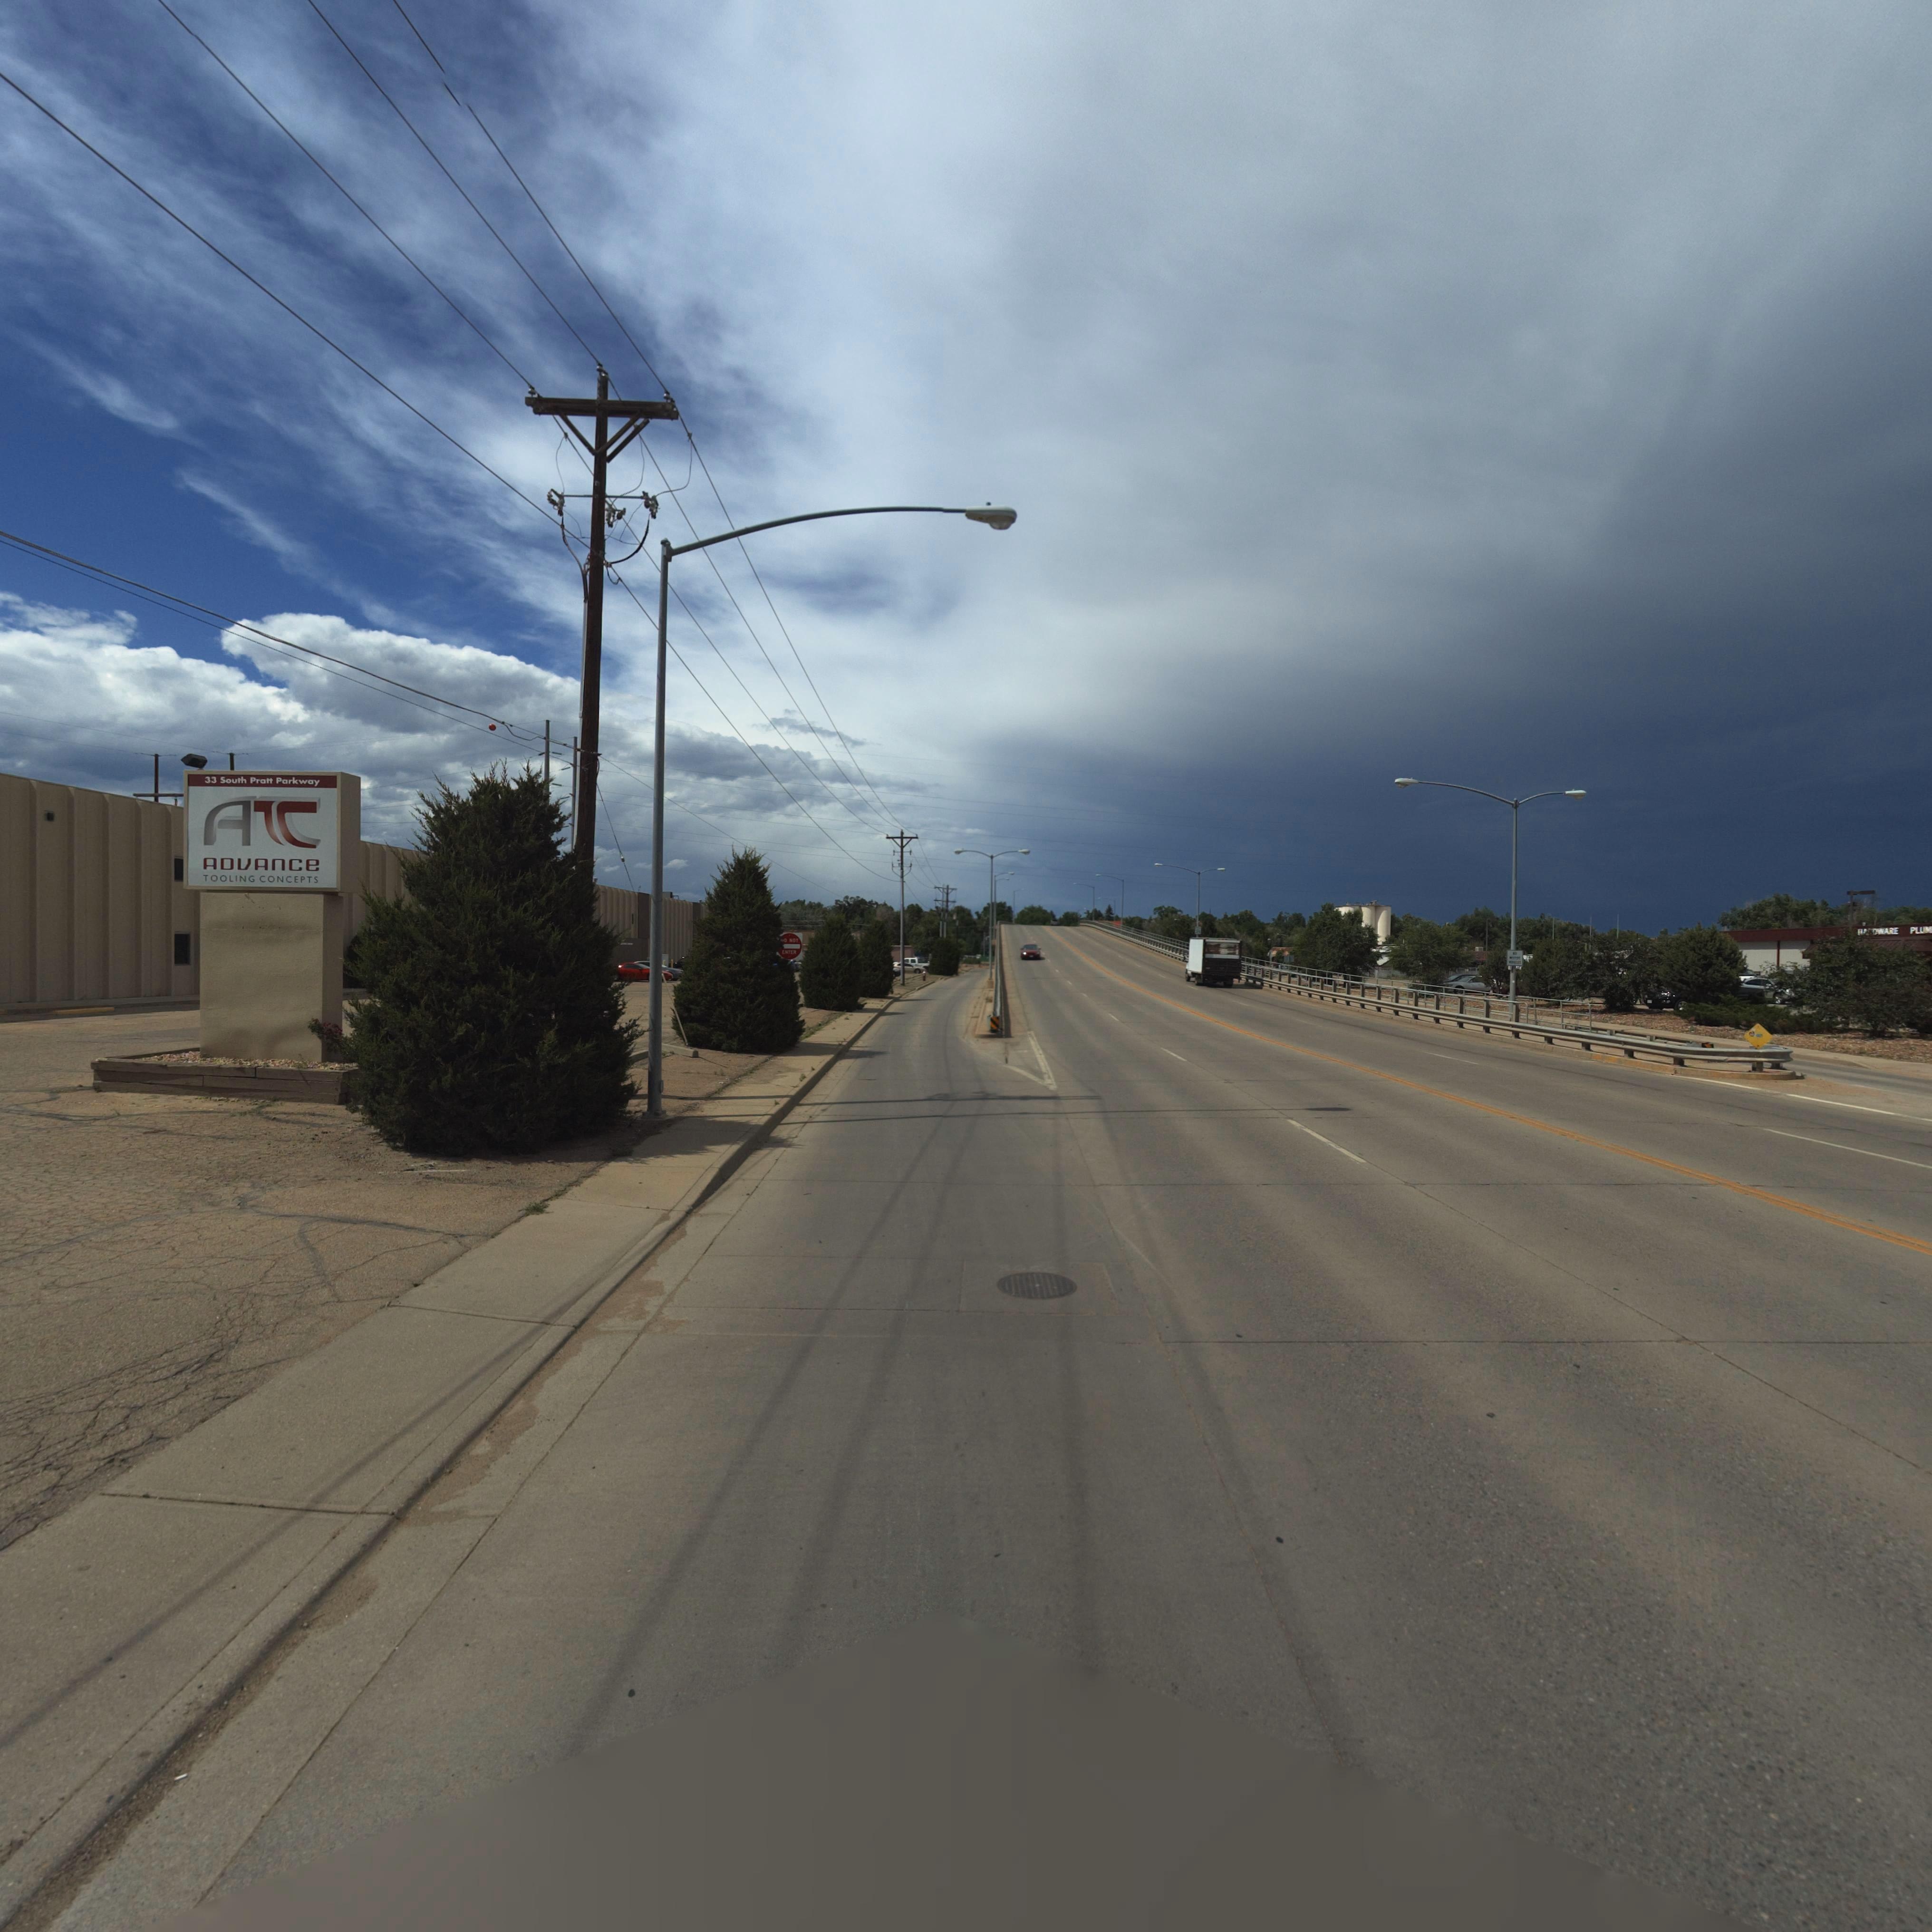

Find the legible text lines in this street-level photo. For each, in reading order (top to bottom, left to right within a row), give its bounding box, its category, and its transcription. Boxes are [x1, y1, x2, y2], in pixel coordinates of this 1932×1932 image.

[204, 776, 217, 783] StreetNumber: 33
[220, 776, 320, 787] StreetName: South Pratt Parkway
[203, 798, 318, 848] BusinessName: A**
[203, 857, 320, 872] BusinessName: ADVANCE
[203, 874, 319, 883] BusinessName: TOOLING CONCEPTS